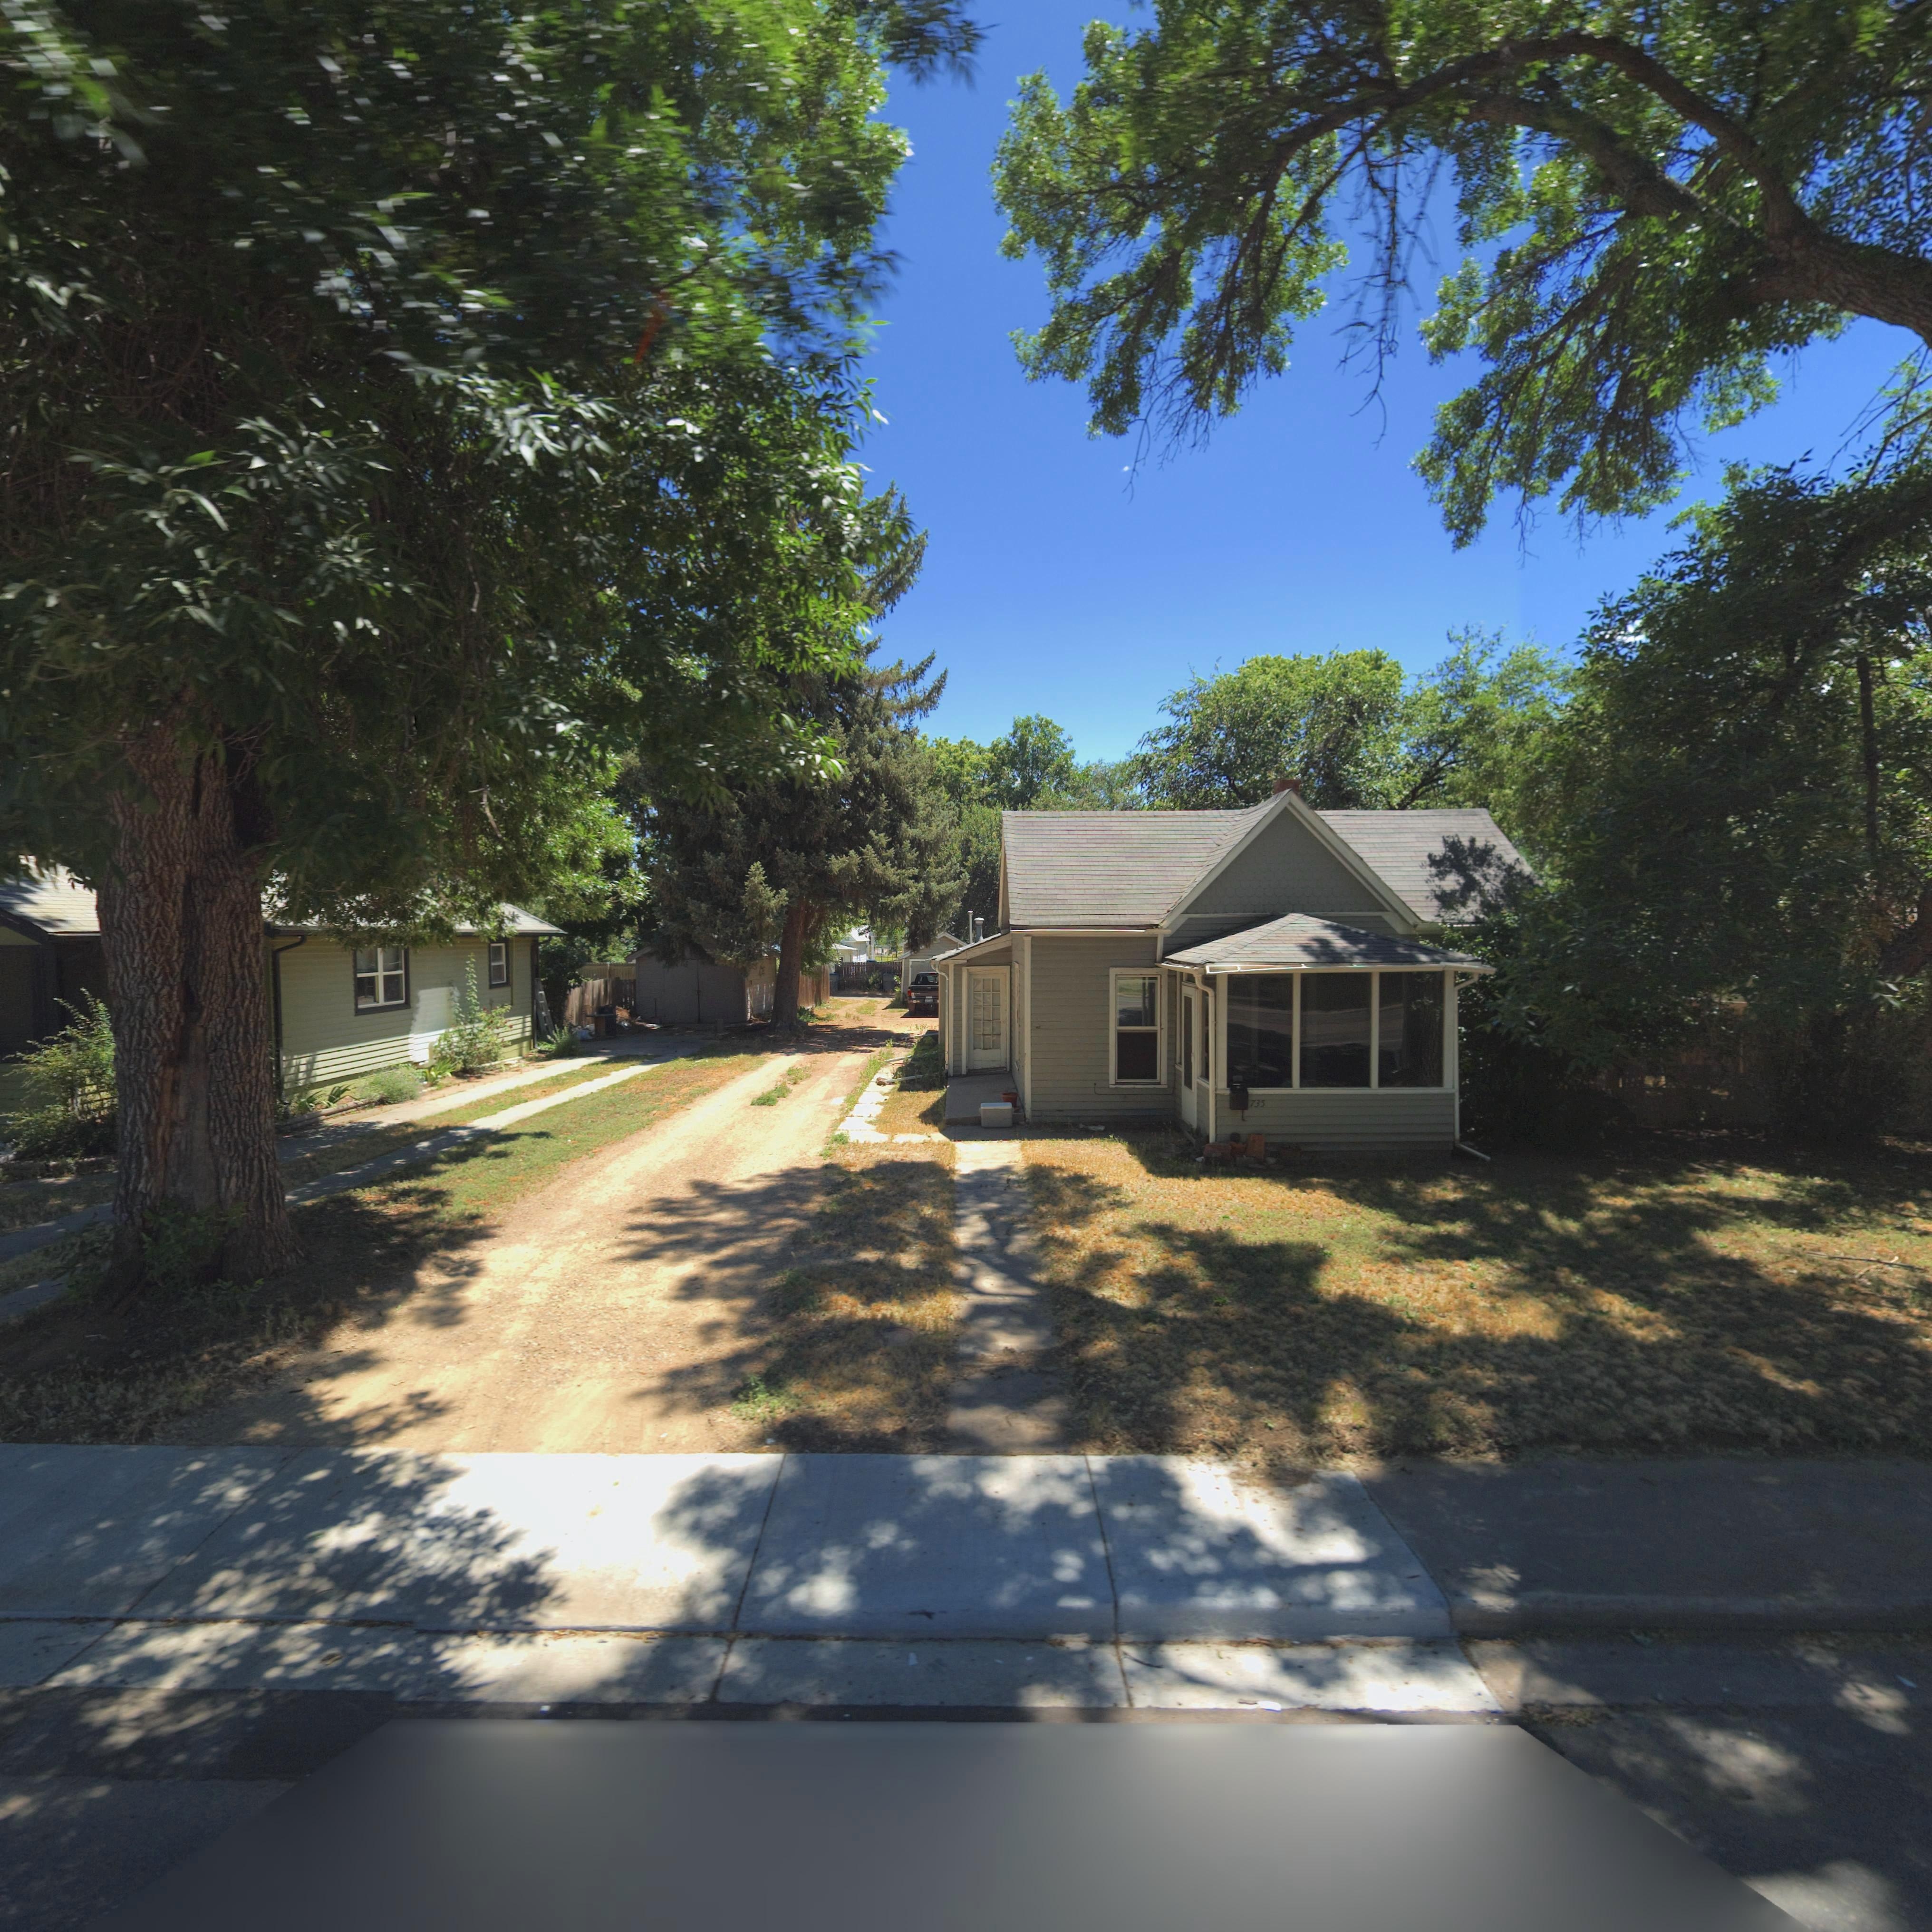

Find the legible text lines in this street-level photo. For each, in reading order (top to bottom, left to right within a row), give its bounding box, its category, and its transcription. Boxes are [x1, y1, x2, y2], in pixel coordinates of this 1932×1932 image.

[1250, 1099, 1265, 1107] StreetNumber: 735